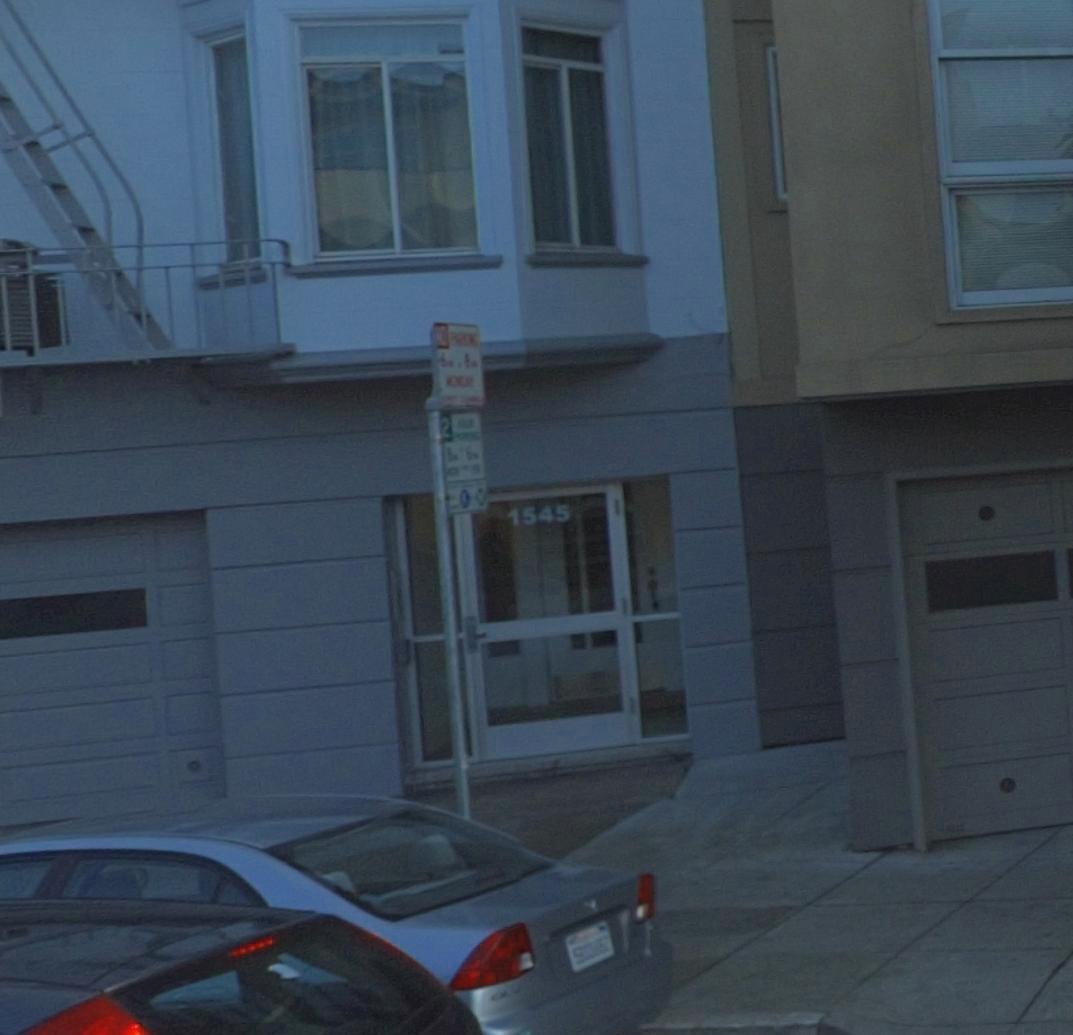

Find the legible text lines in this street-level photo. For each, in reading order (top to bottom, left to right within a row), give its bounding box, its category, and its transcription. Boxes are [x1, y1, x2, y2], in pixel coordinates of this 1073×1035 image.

[436, 414, 455, 442] None: 2
[505, 501, 573, 529] StreetNumber: 1545